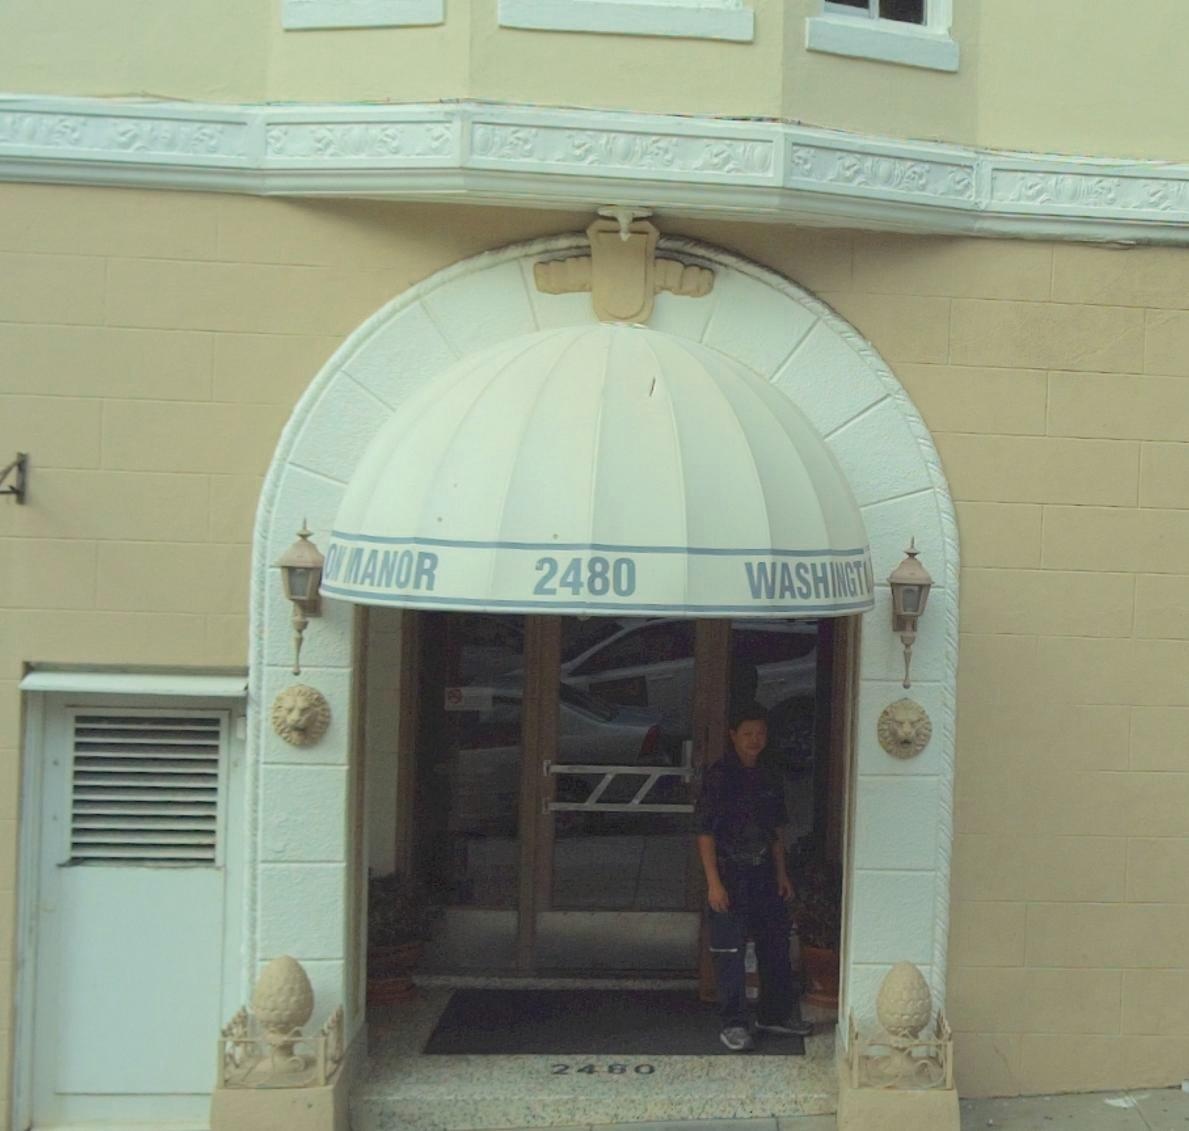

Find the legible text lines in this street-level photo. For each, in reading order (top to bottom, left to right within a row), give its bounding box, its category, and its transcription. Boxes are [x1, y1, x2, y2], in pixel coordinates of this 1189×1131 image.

[321, 541, 442, 596] BusinessName: O* *ANOR
[530, 554, 638, 599] StreetNumber: 2480
[739, 556, 868, 605] BusinessName: WASHINGT
[547, 1060, 659, 1078] StreetNumber: 2480